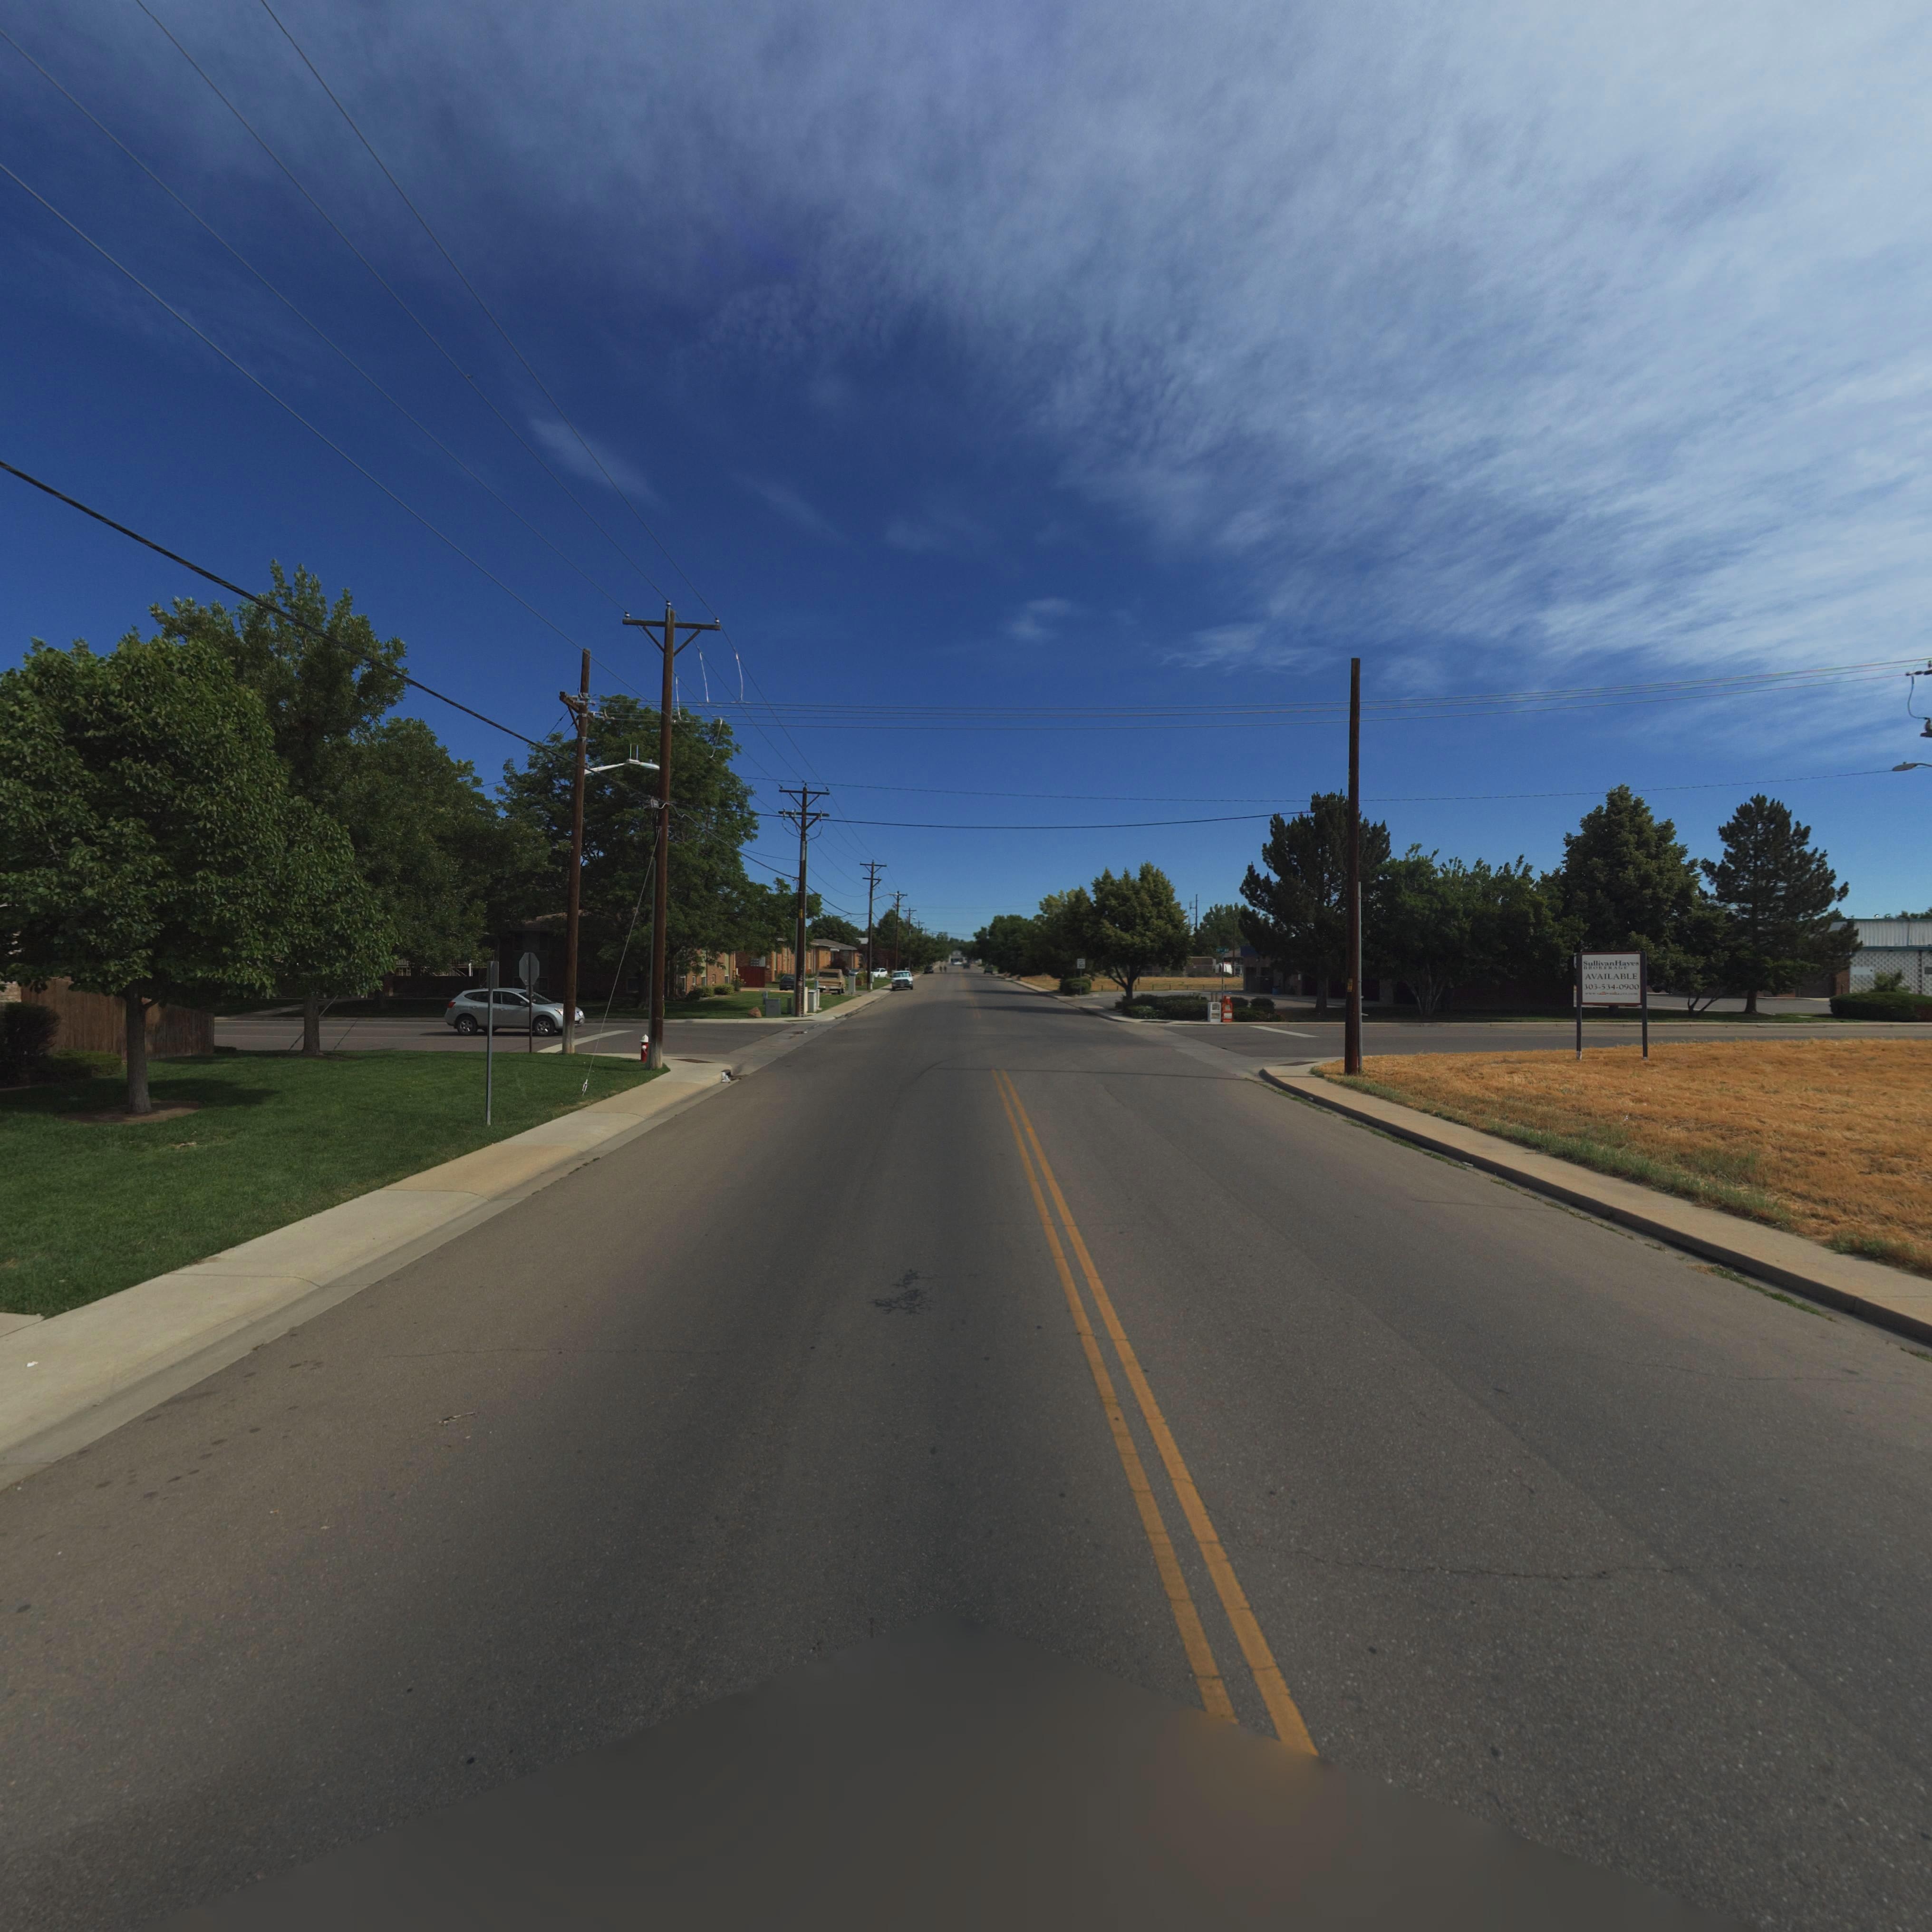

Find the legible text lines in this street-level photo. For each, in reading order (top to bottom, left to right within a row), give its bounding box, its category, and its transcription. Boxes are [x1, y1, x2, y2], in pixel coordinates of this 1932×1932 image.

[1215, 948, 1229, 952] StreetName: 19** A*